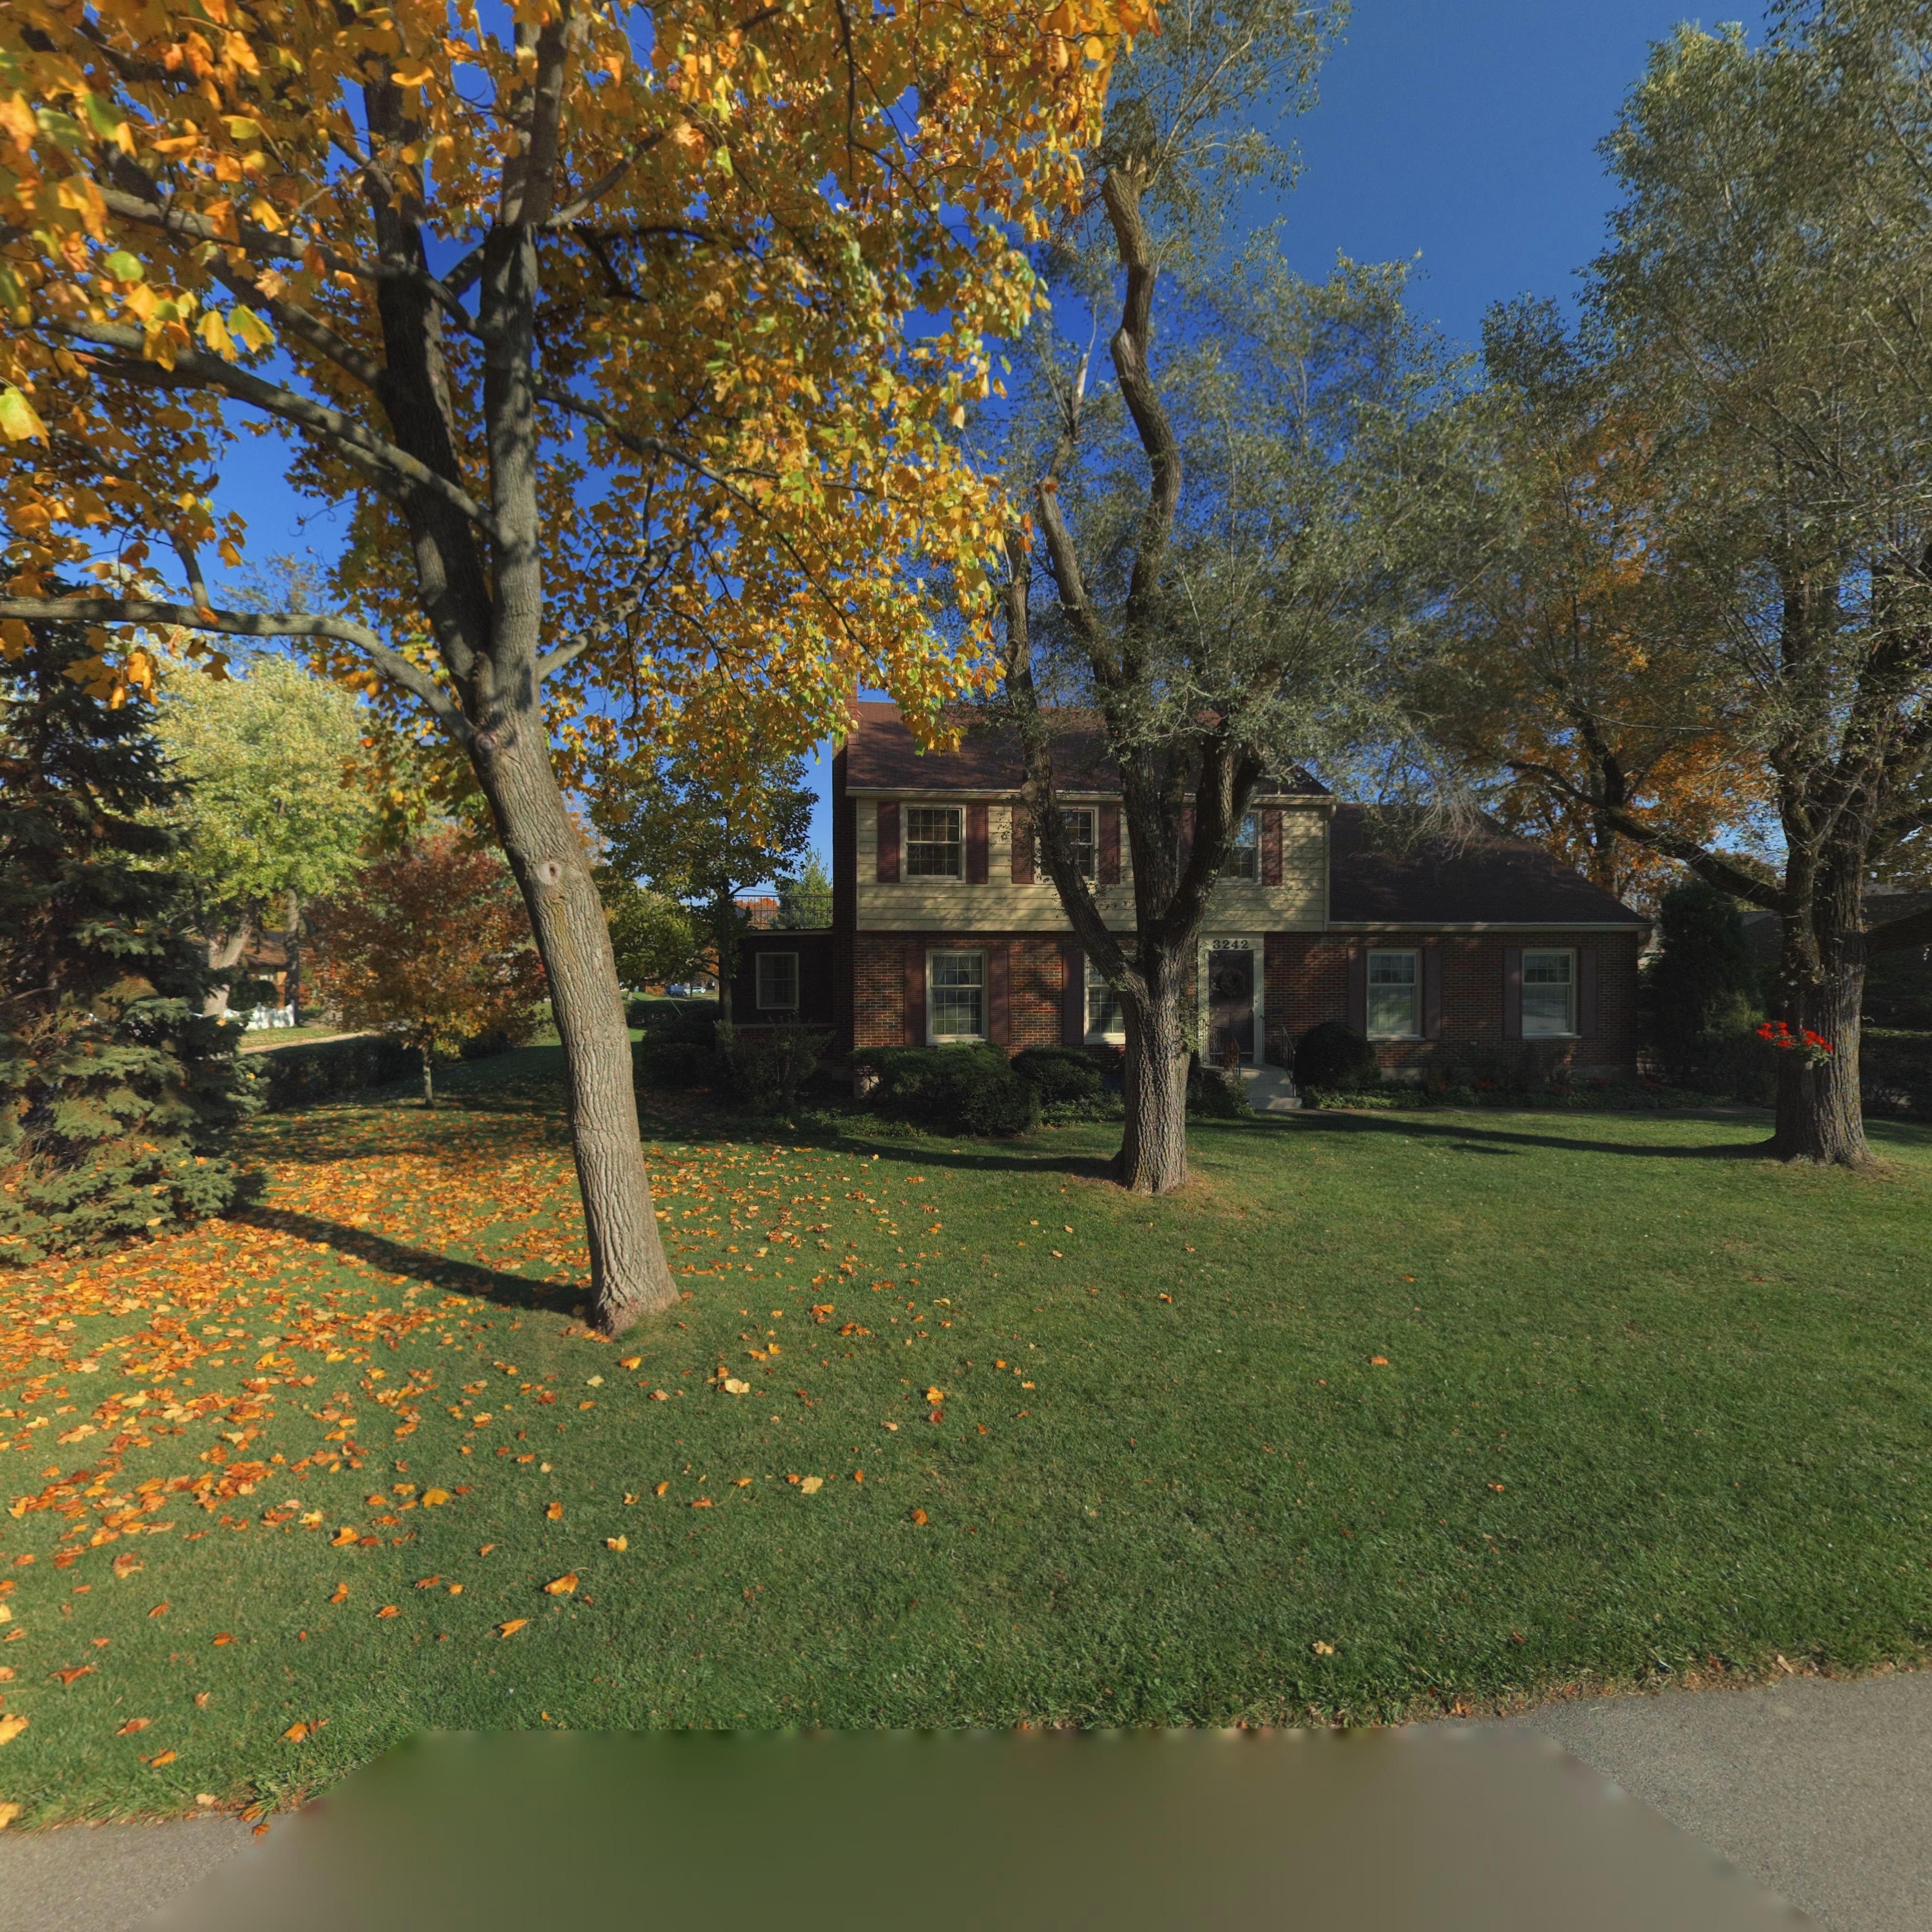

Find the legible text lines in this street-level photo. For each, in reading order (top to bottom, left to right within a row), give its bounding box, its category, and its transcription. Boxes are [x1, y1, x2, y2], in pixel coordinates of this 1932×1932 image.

[1212, 939, 1249, 949] StreetNumber: 3242